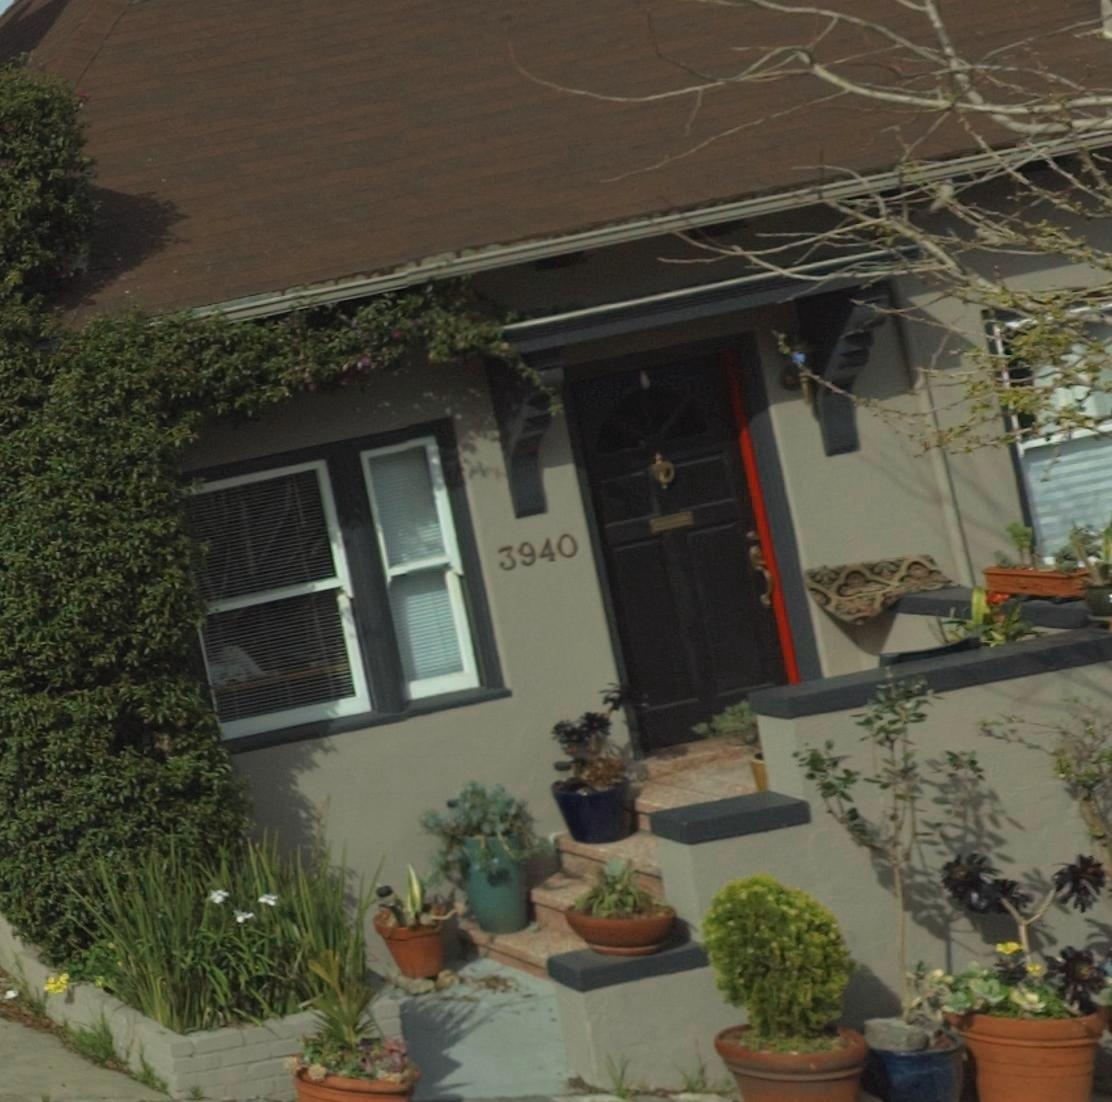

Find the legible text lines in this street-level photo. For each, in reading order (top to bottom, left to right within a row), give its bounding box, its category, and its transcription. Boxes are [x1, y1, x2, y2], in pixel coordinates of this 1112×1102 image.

[497, 530, 583, 573] StreetNumber: 3940